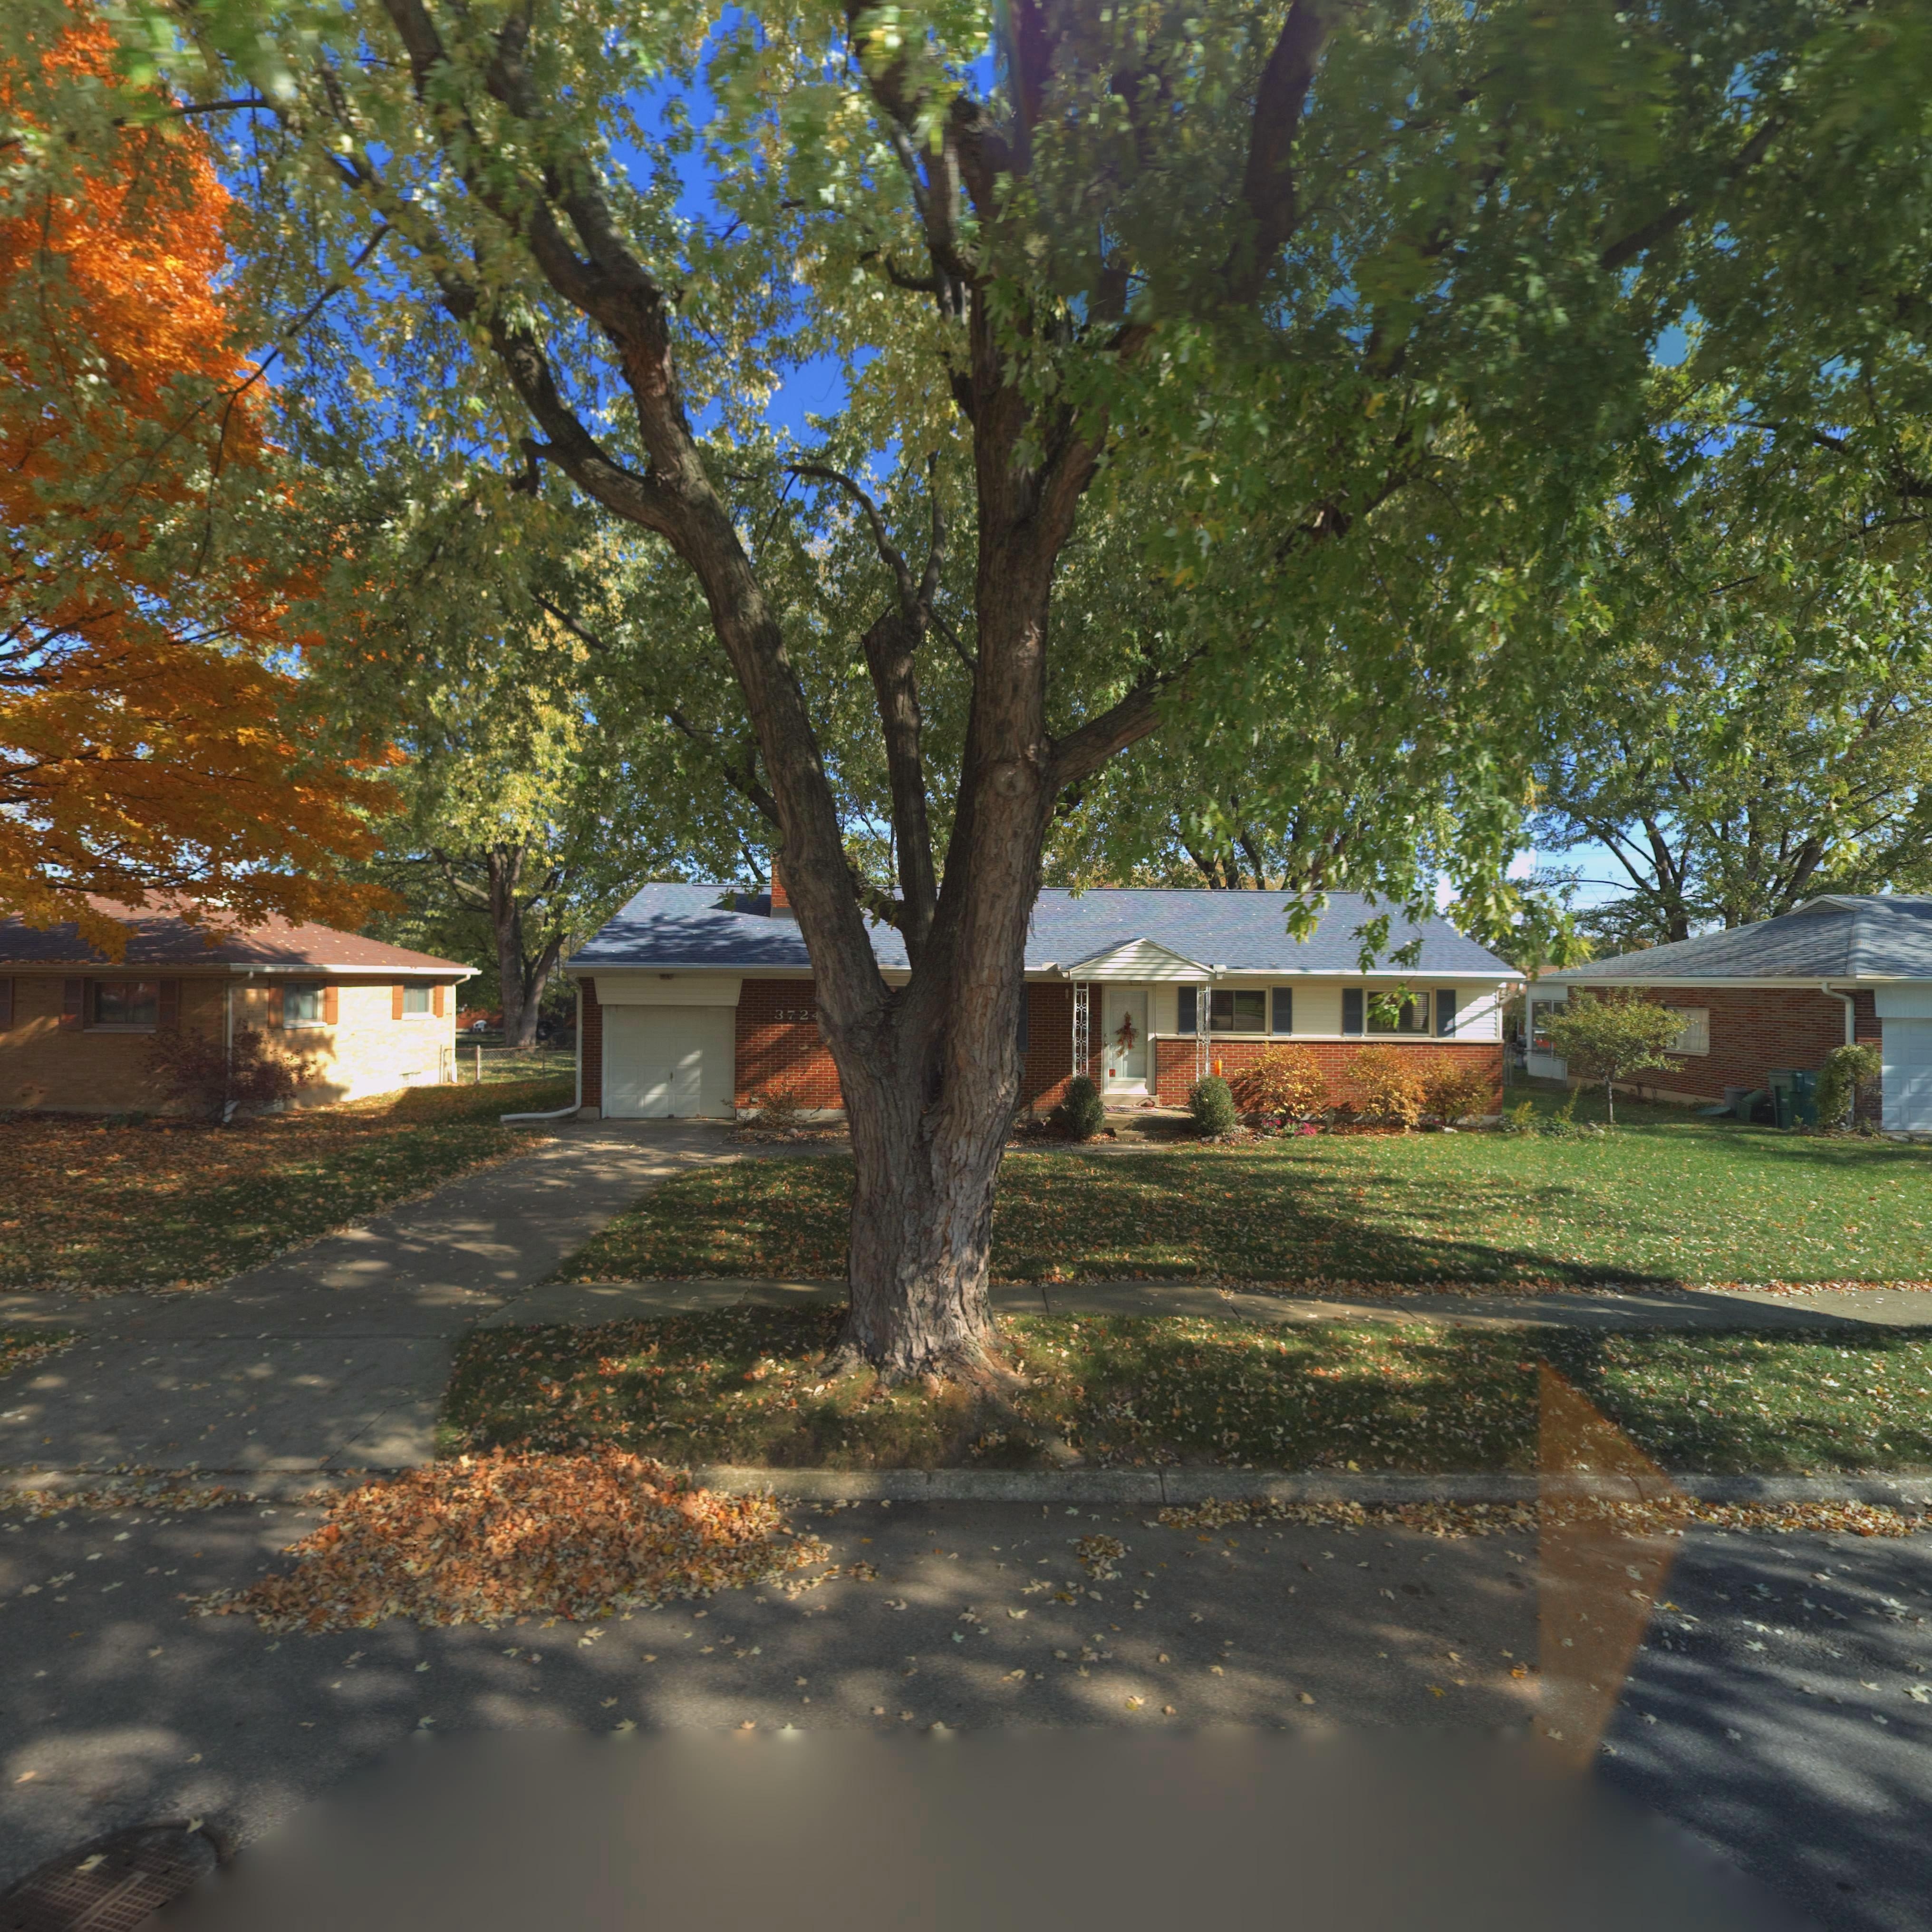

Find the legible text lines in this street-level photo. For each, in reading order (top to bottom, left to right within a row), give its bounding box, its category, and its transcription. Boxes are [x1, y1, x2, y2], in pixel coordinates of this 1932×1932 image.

[773, 1008, 819, 1021] StreetNumber: 3724